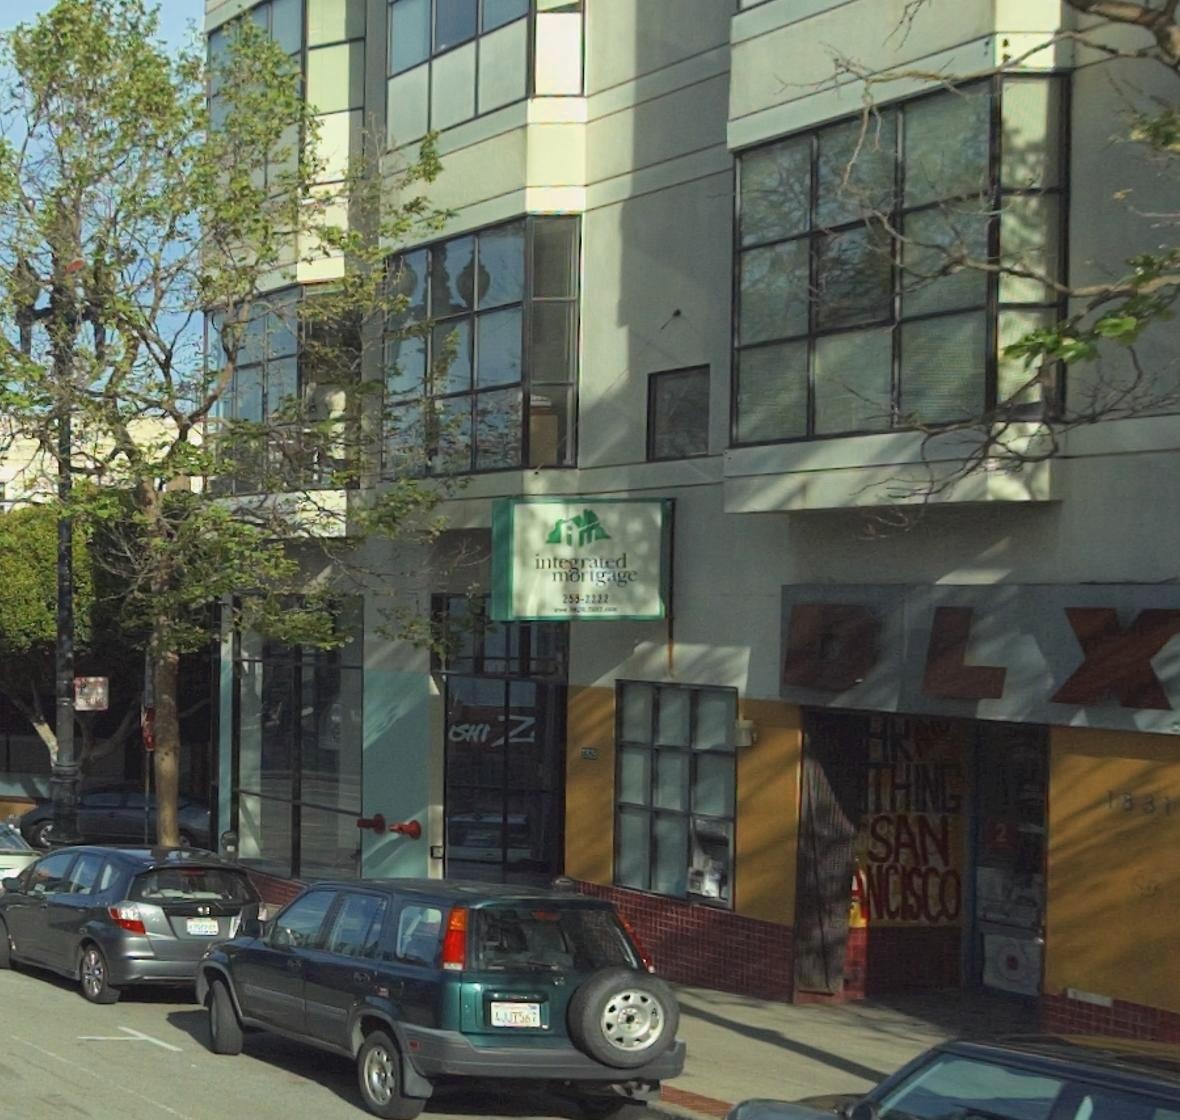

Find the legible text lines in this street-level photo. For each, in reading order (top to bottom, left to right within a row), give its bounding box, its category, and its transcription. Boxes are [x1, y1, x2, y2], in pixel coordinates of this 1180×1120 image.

[533, 550, 628, 576] BusinessName: integrated
[549, 567, 643, 590] BusinessName: mortgage
[765, 585, 1180, 727] BusinessName: DLX
[445, 719, 497, 746] None: SHI
[863, 758, 966, 817] None: THING
[1102, 785, 1175, 822] StreetNumber: 1831
[864, 809, 953, 870] None: SAN
[992, 820, 1010, 845] None: 2
[861, 858, 964, 928] None: NCISCO